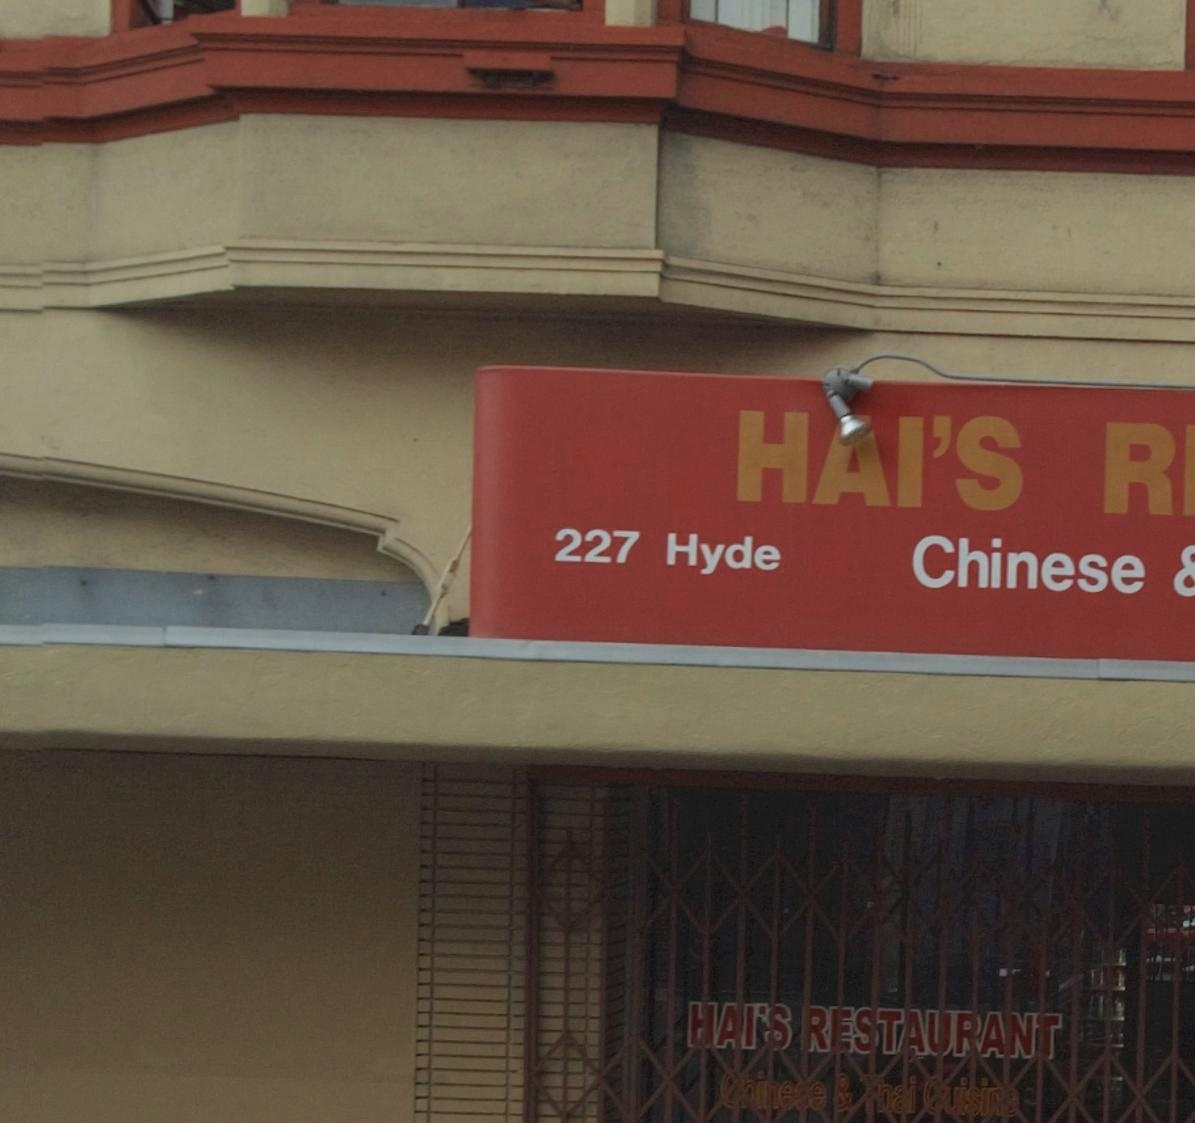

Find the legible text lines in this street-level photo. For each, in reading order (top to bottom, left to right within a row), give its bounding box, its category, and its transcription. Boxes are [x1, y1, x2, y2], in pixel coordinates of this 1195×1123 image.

[734, 407, 1178, 519] BusinessName: H*I'S R
[552, 527, 642, 565] StreetNumber: 227
[665, 531, 783, 577] StreetName: Hyde
[910, 531, 1150, 595] BusinessName: Chinese